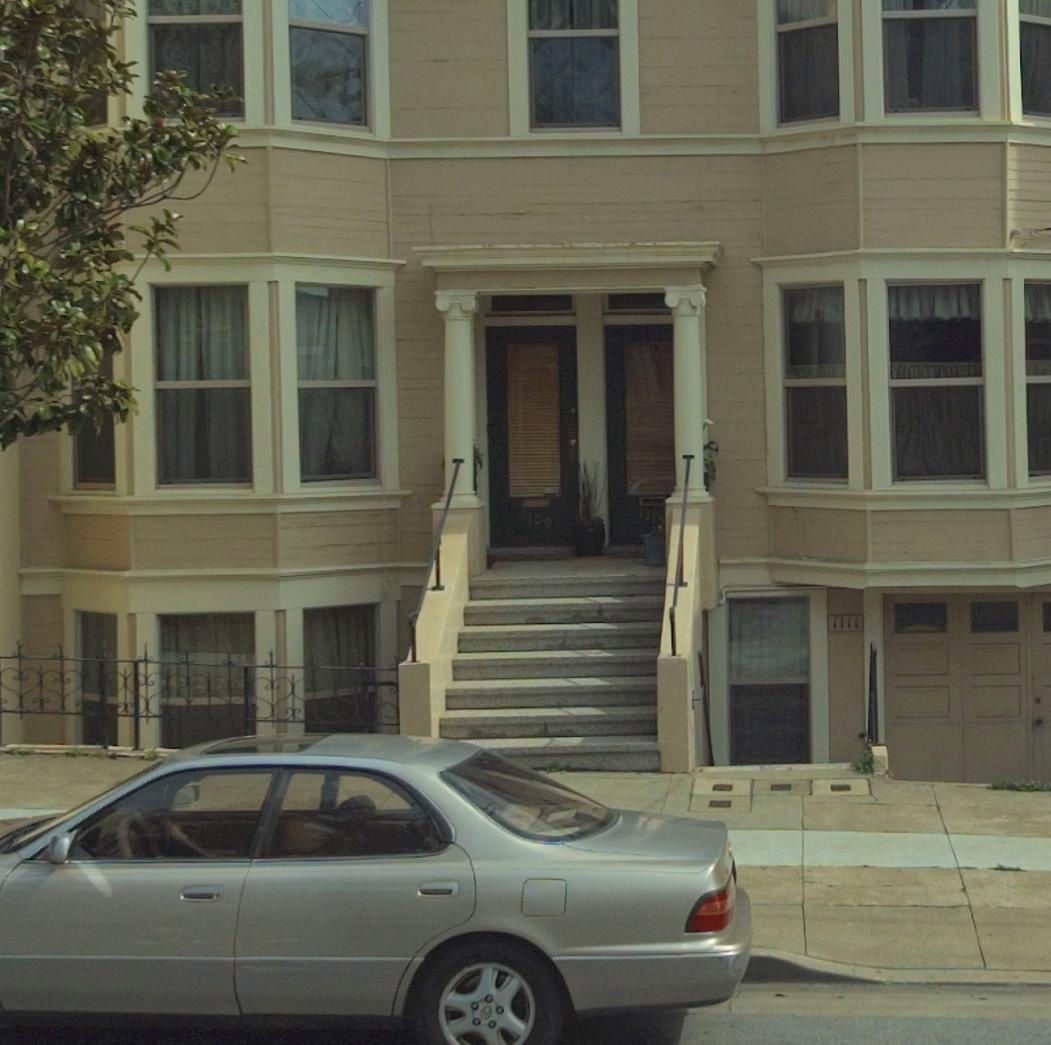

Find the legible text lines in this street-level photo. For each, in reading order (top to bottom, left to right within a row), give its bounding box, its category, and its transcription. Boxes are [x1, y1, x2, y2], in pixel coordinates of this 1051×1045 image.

[521, 507, 553, 532] StreetNumber: 1109
[830, 615, 861, 631] StreetNumber: 1111